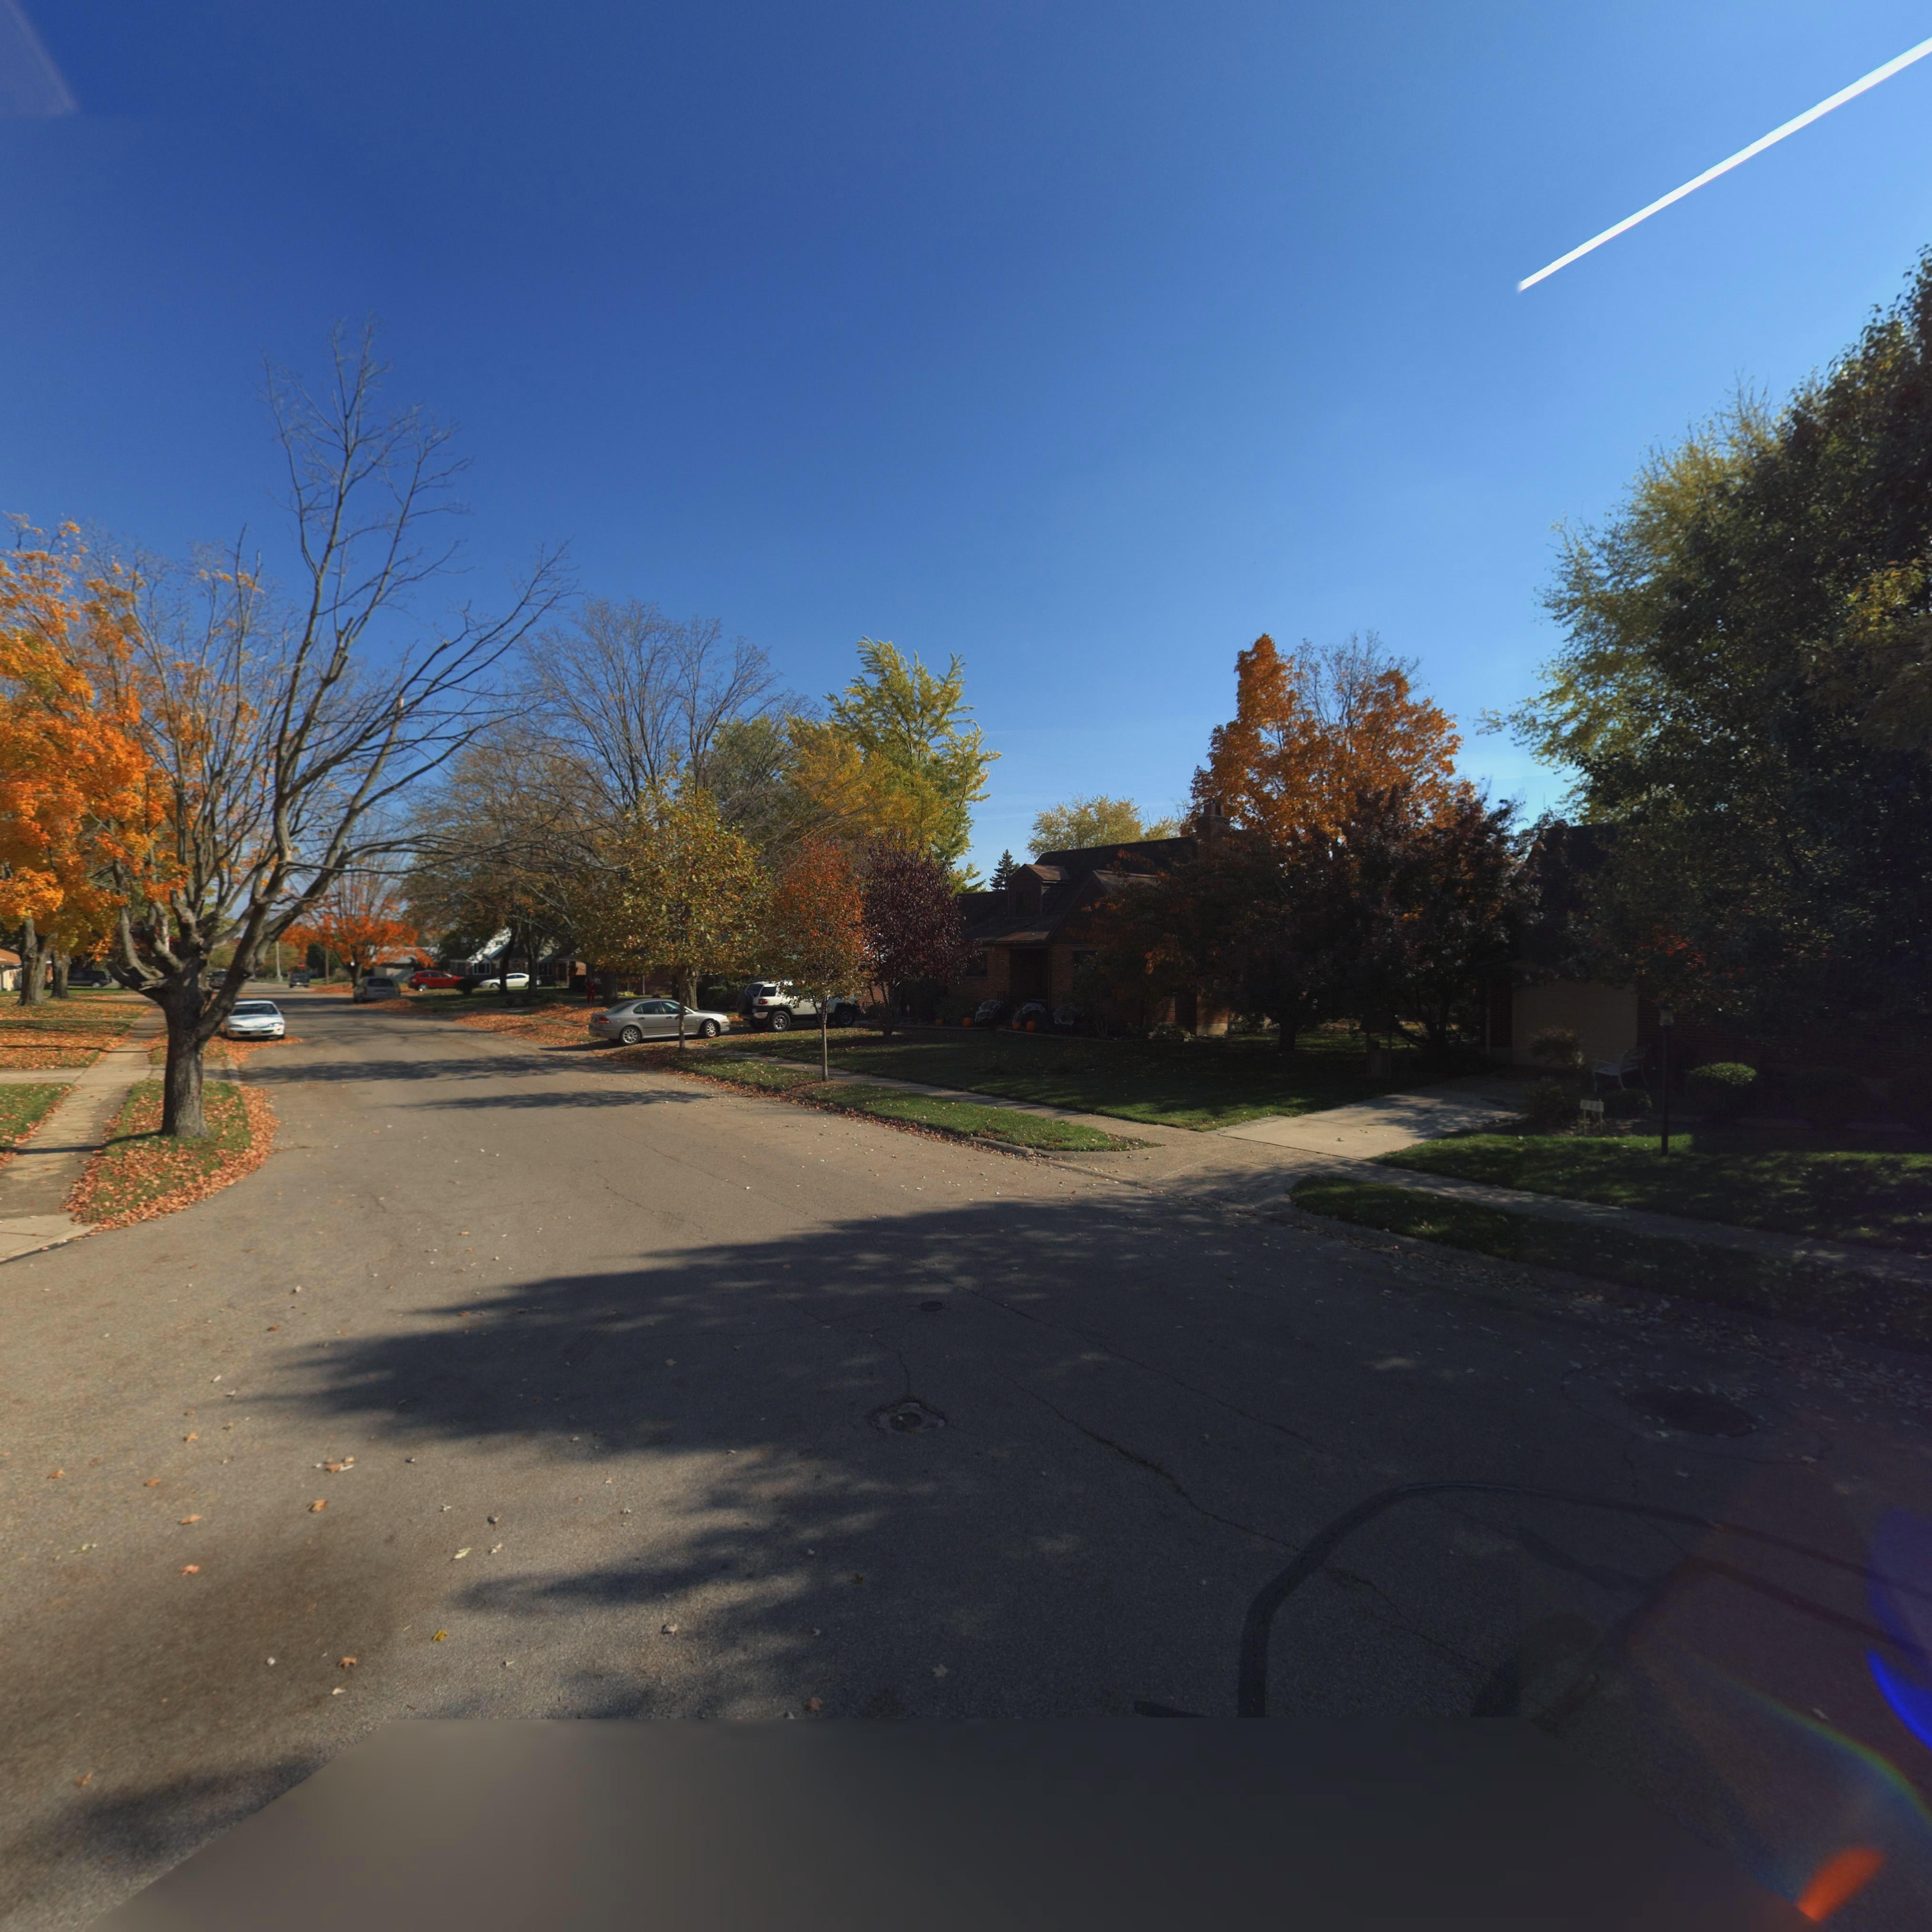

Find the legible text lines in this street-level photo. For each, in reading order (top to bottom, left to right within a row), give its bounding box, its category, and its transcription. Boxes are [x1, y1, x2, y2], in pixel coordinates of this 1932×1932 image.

[1580, 1100, 1601, 1111] StreetNumber: 944